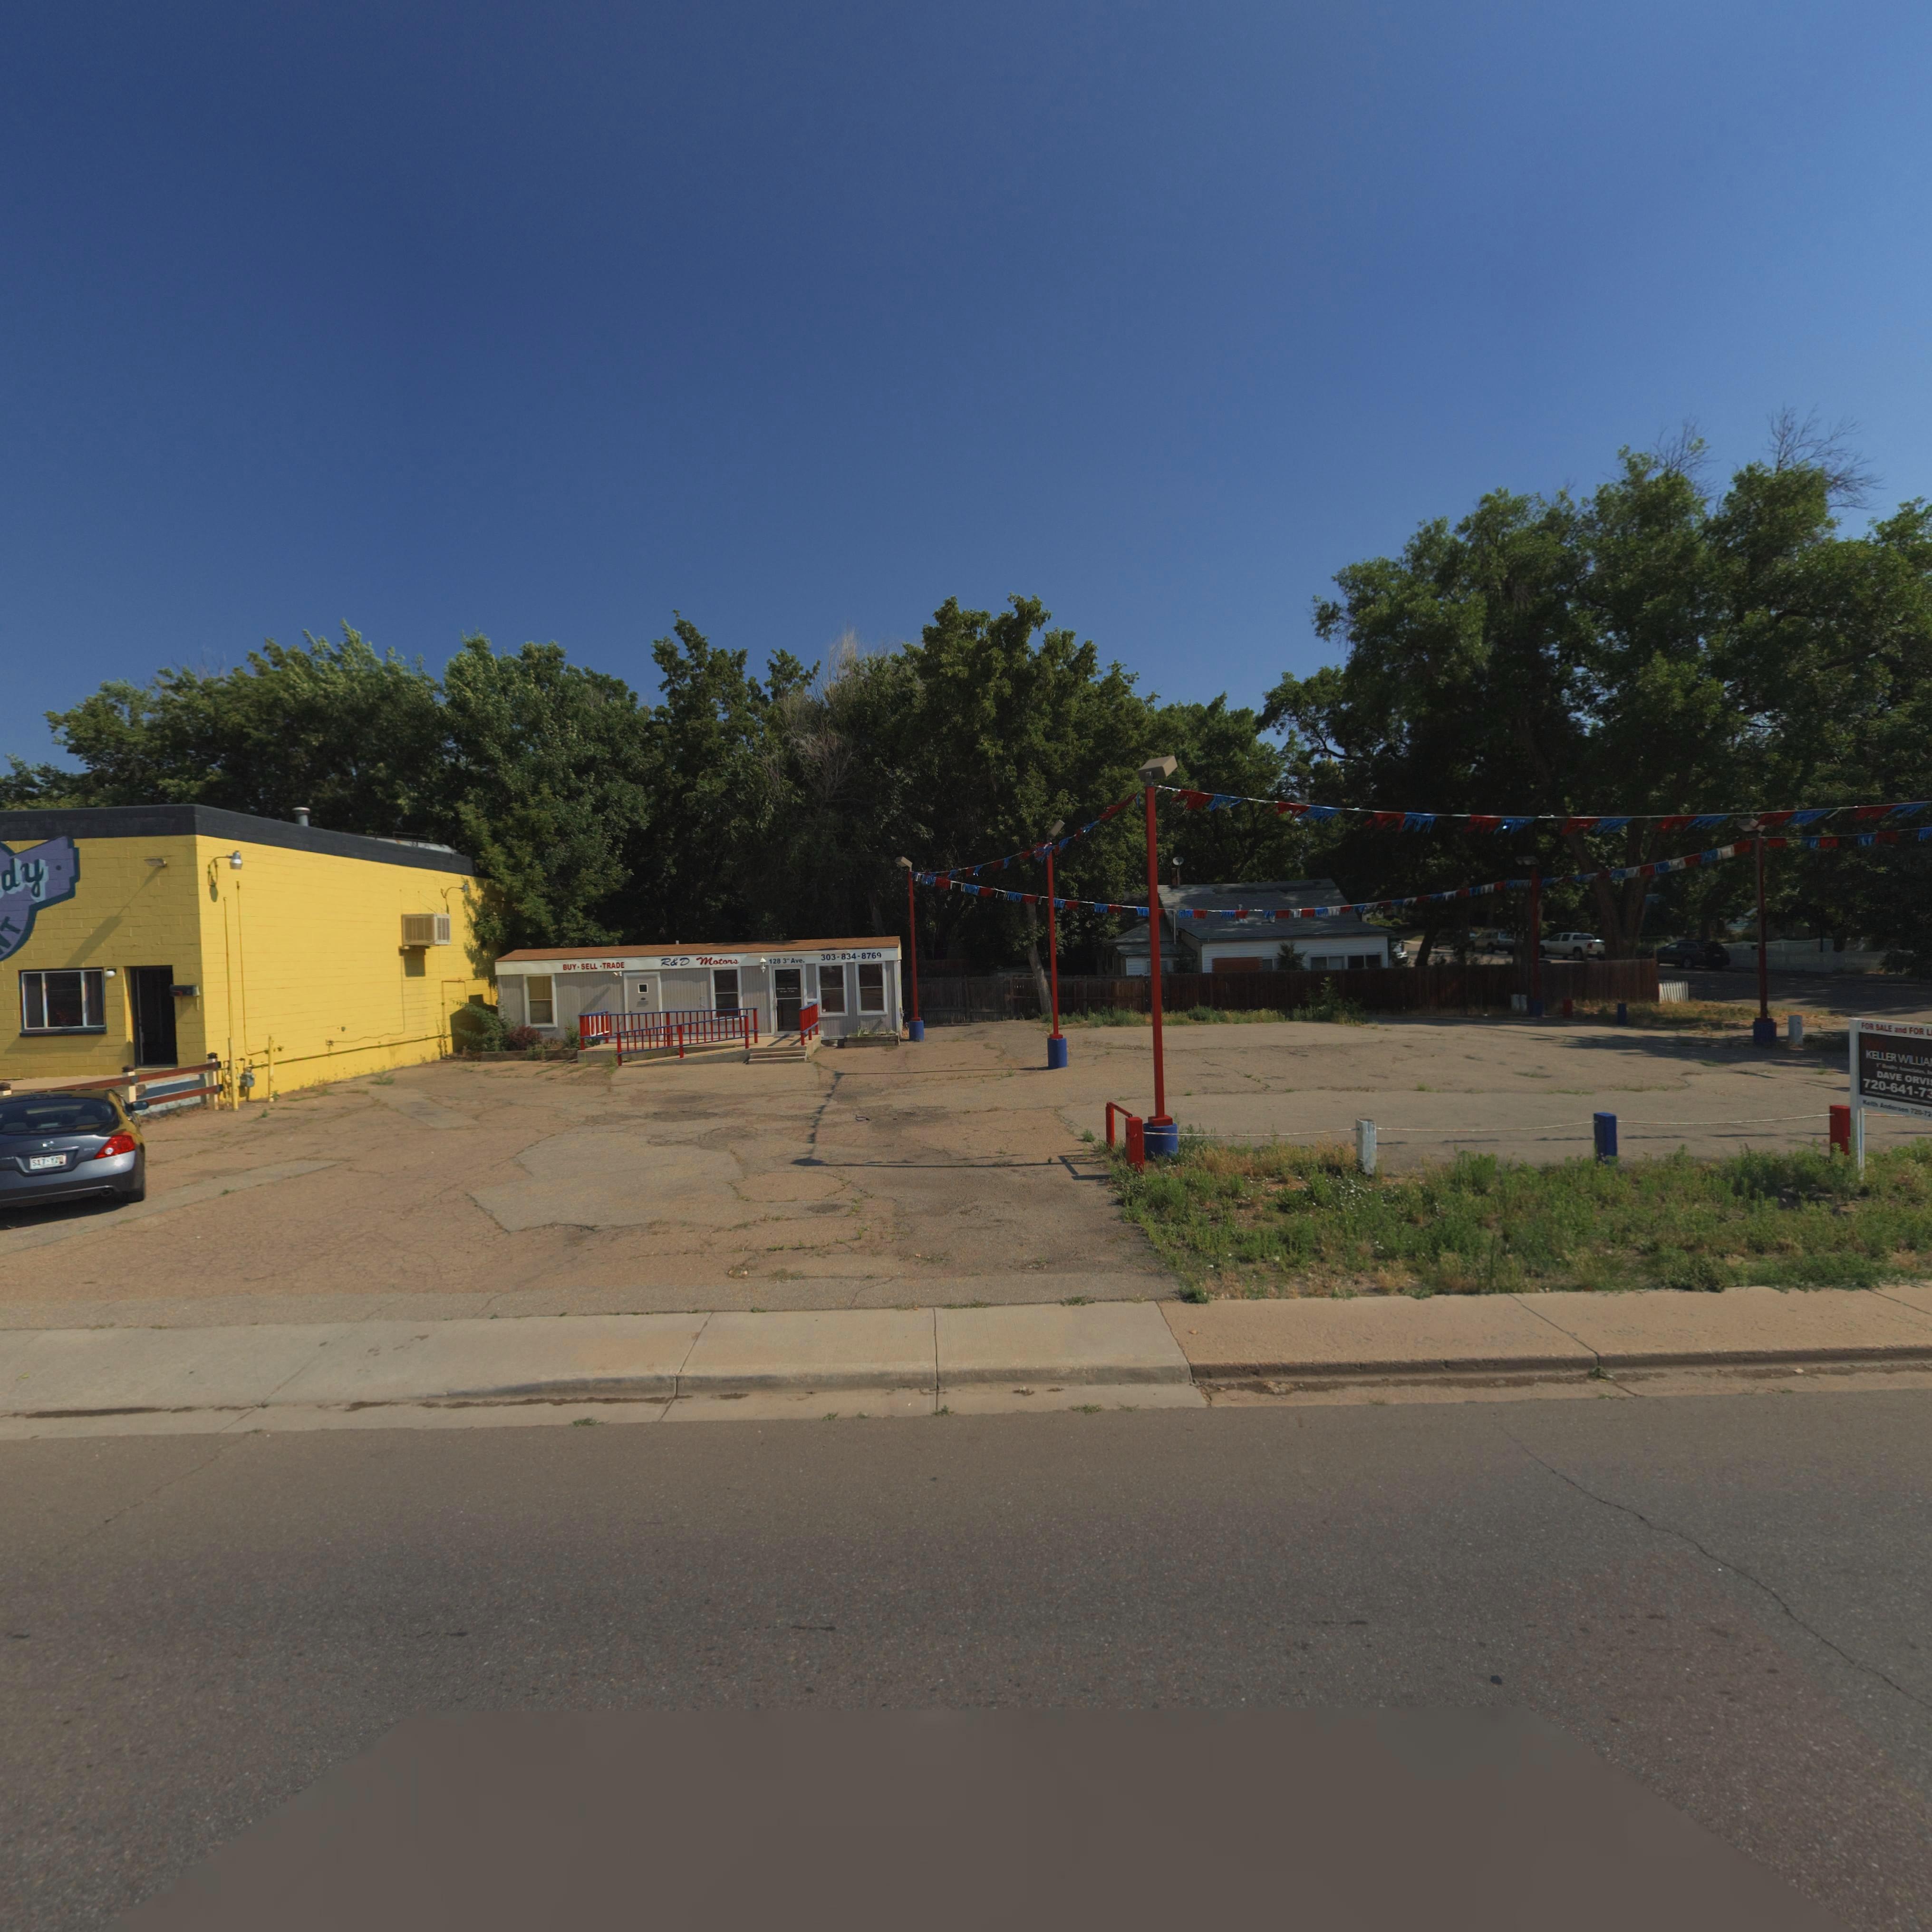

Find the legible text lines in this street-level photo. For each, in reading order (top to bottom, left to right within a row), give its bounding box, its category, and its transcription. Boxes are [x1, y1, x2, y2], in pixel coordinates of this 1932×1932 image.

[1, 857, 49, 903] BusinessName: dy
[660, 957, 690, 966] BusinessName: R*D
[695, 956, 740, 966] BusinessName: Motors
[769, 958, 781, 964] StreetNumber: 128
[782, 957, 803, 964] StreetName: 3* Ave